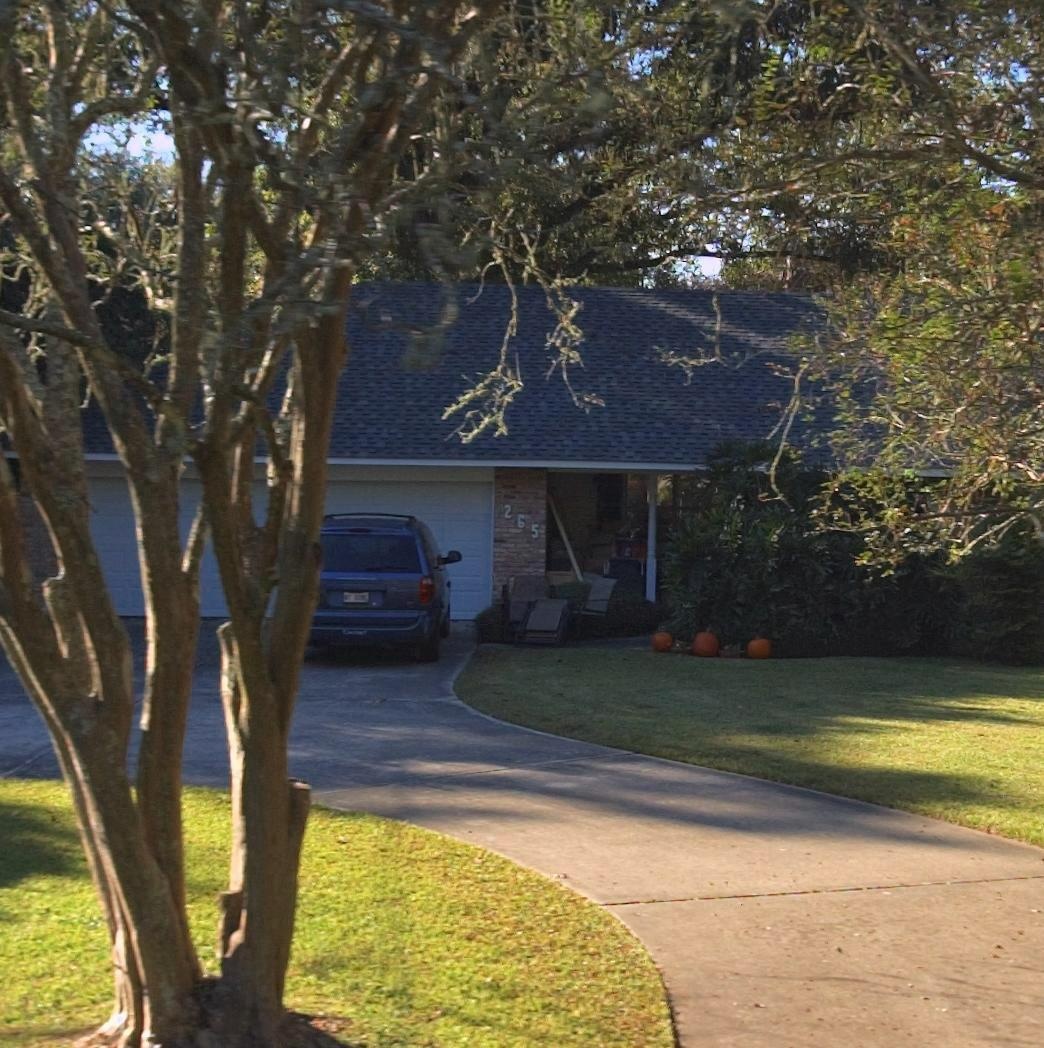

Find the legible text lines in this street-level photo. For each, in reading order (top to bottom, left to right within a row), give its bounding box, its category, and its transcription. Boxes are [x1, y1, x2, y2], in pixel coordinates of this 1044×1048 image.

[503, 503, 541, 540] StreetNumber: 265